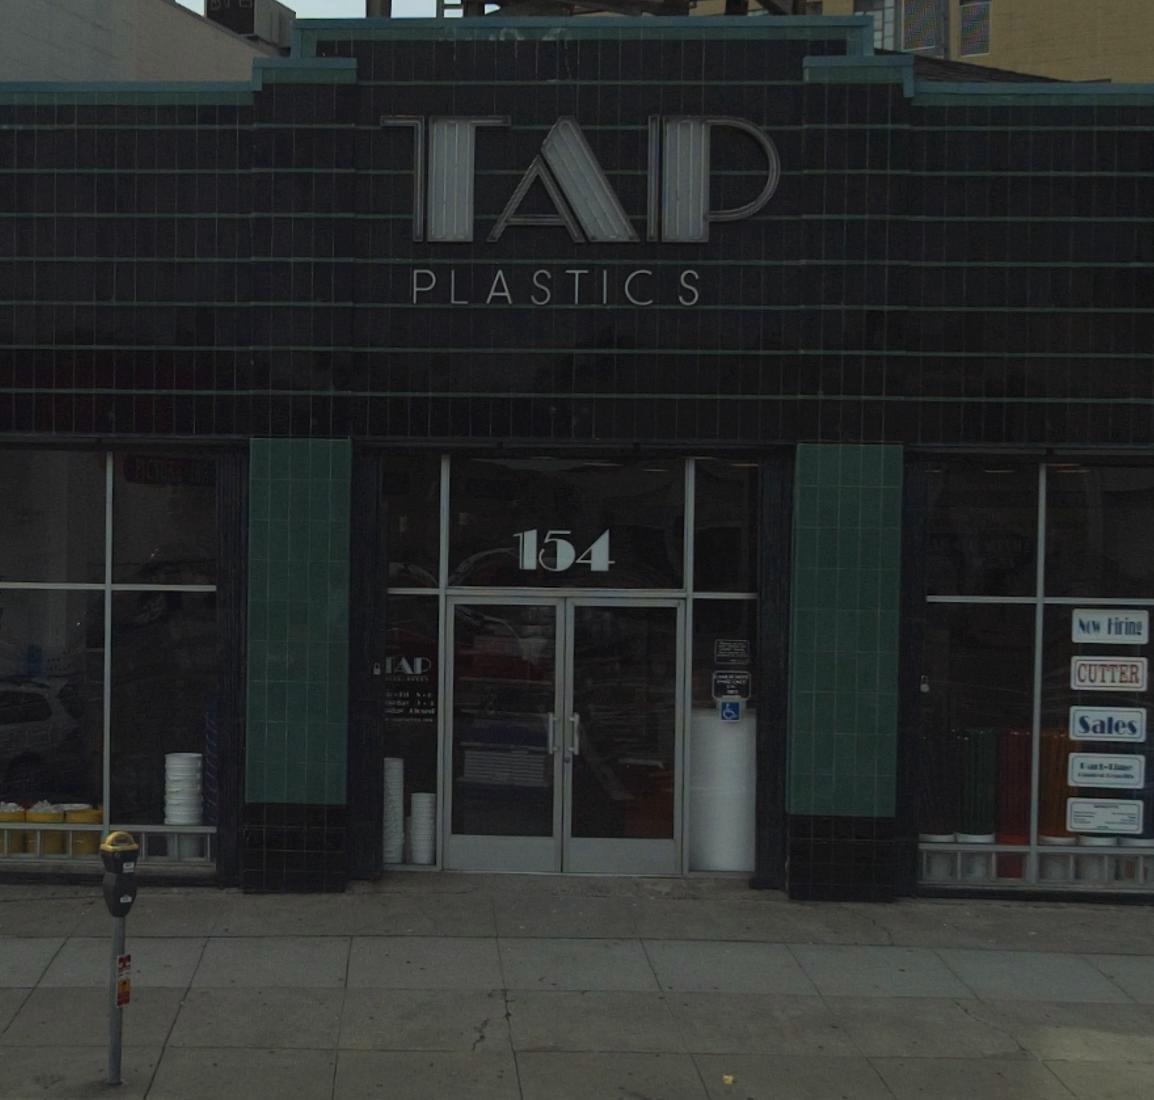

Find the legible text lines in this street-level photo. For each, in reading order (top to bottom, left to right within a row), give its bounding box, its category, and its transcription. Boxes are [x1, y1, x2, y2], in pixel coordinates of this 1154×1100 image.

[378, 112, 782, 245] BusinessName: TAP
[412, 269, 700, 307] BusinessName: PLASTICS
[513, 527, 616, 572] StreetNumber: 154
[1077, 617, 1142, 636] None: Now Hiring
[392, 656, 432, 675] BusinessName: AP
[1077, 663, 1140, 684] None: CUTTER
[1078, 715, 1138, 735] None: Sales